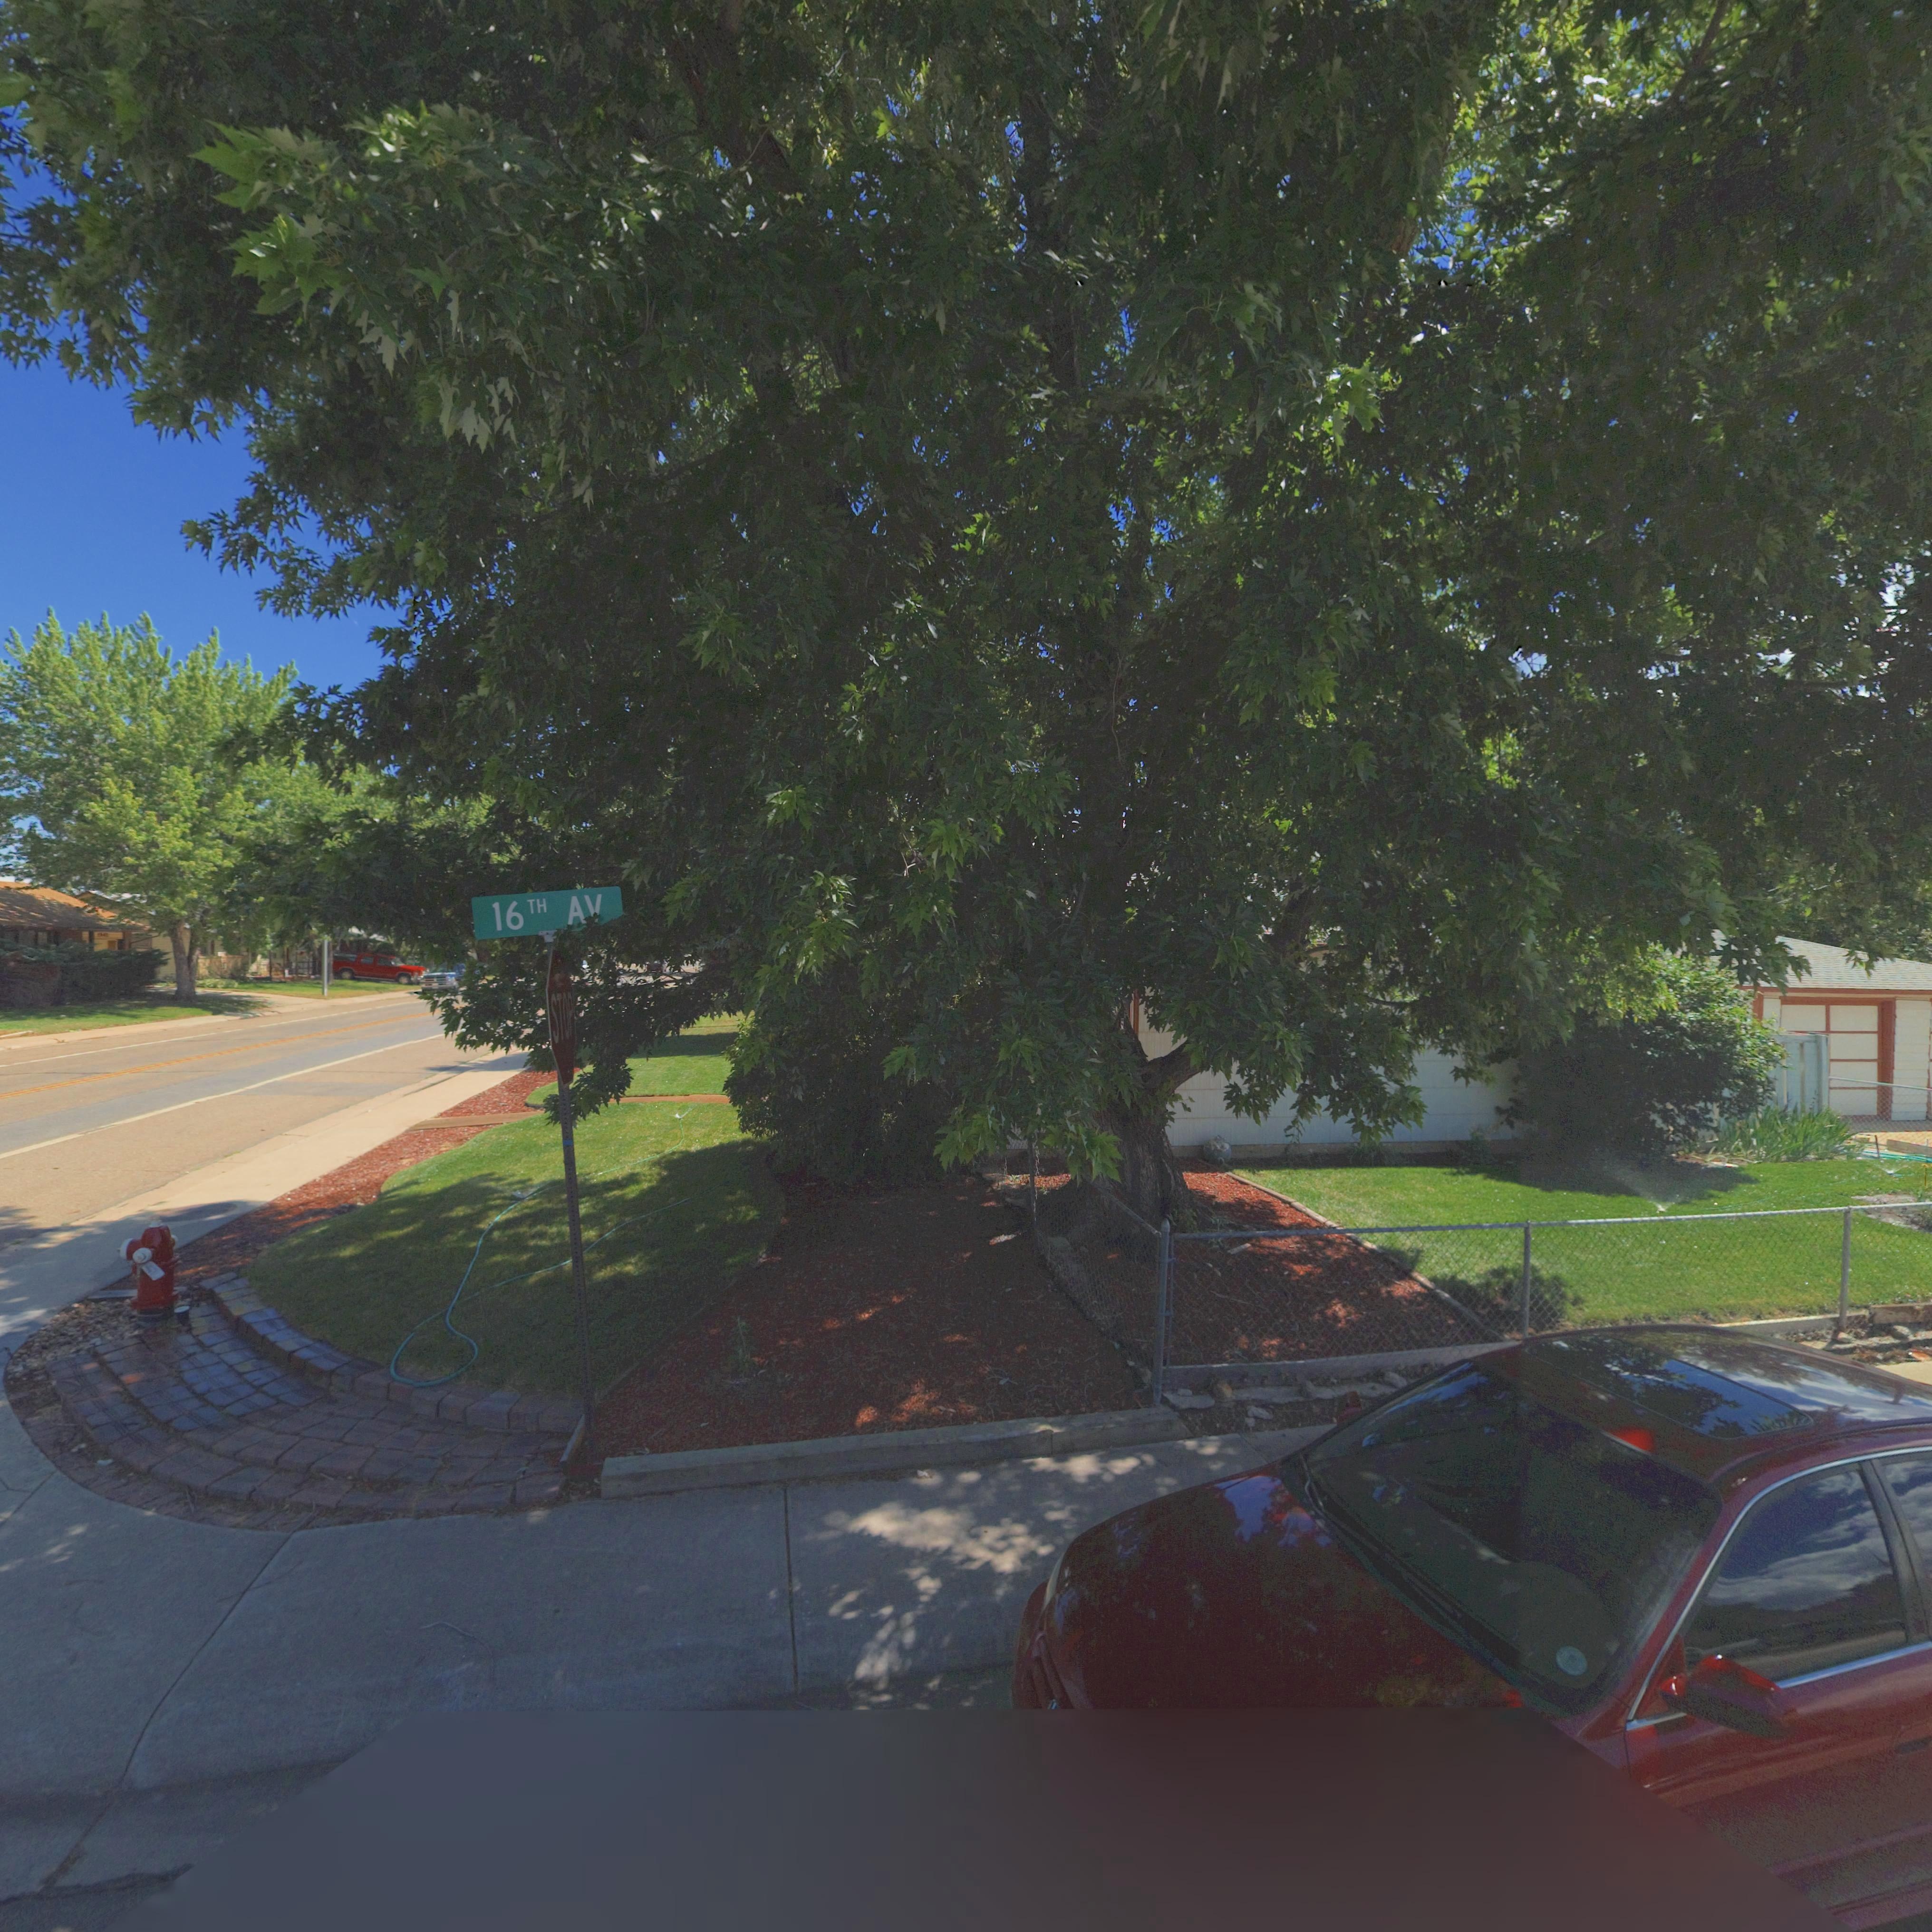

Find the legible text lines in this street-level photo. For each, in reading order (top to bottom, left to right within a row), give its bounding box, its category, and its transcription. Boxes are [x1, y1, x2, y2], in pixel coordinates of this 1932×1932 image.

[492, 893, 603, 932] StreetName: 16TH AV